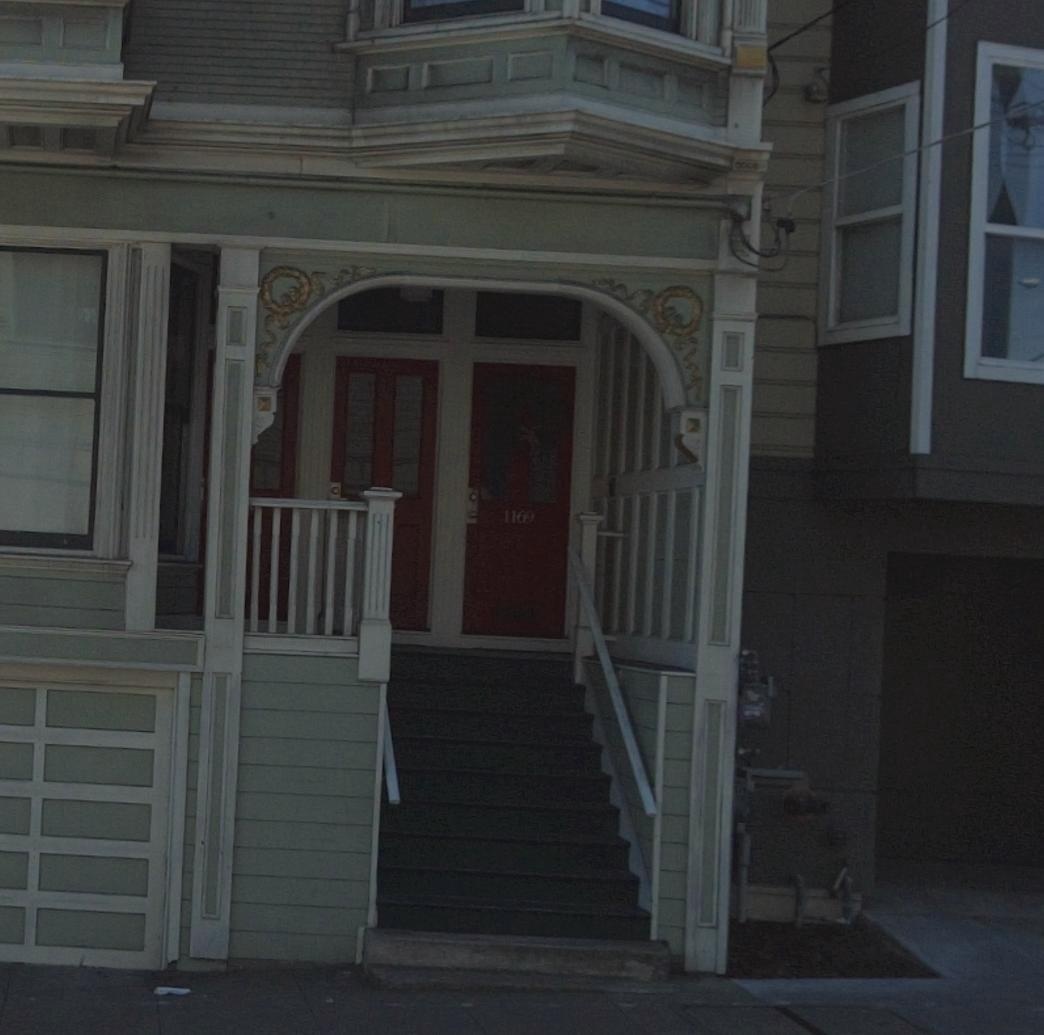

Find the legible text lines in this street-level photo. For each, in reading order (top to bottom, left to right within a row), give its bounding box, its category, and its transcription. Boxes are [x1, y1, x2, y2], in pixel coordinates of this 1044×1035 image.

[504, 510, 536, 525] StreetNumber: 1169